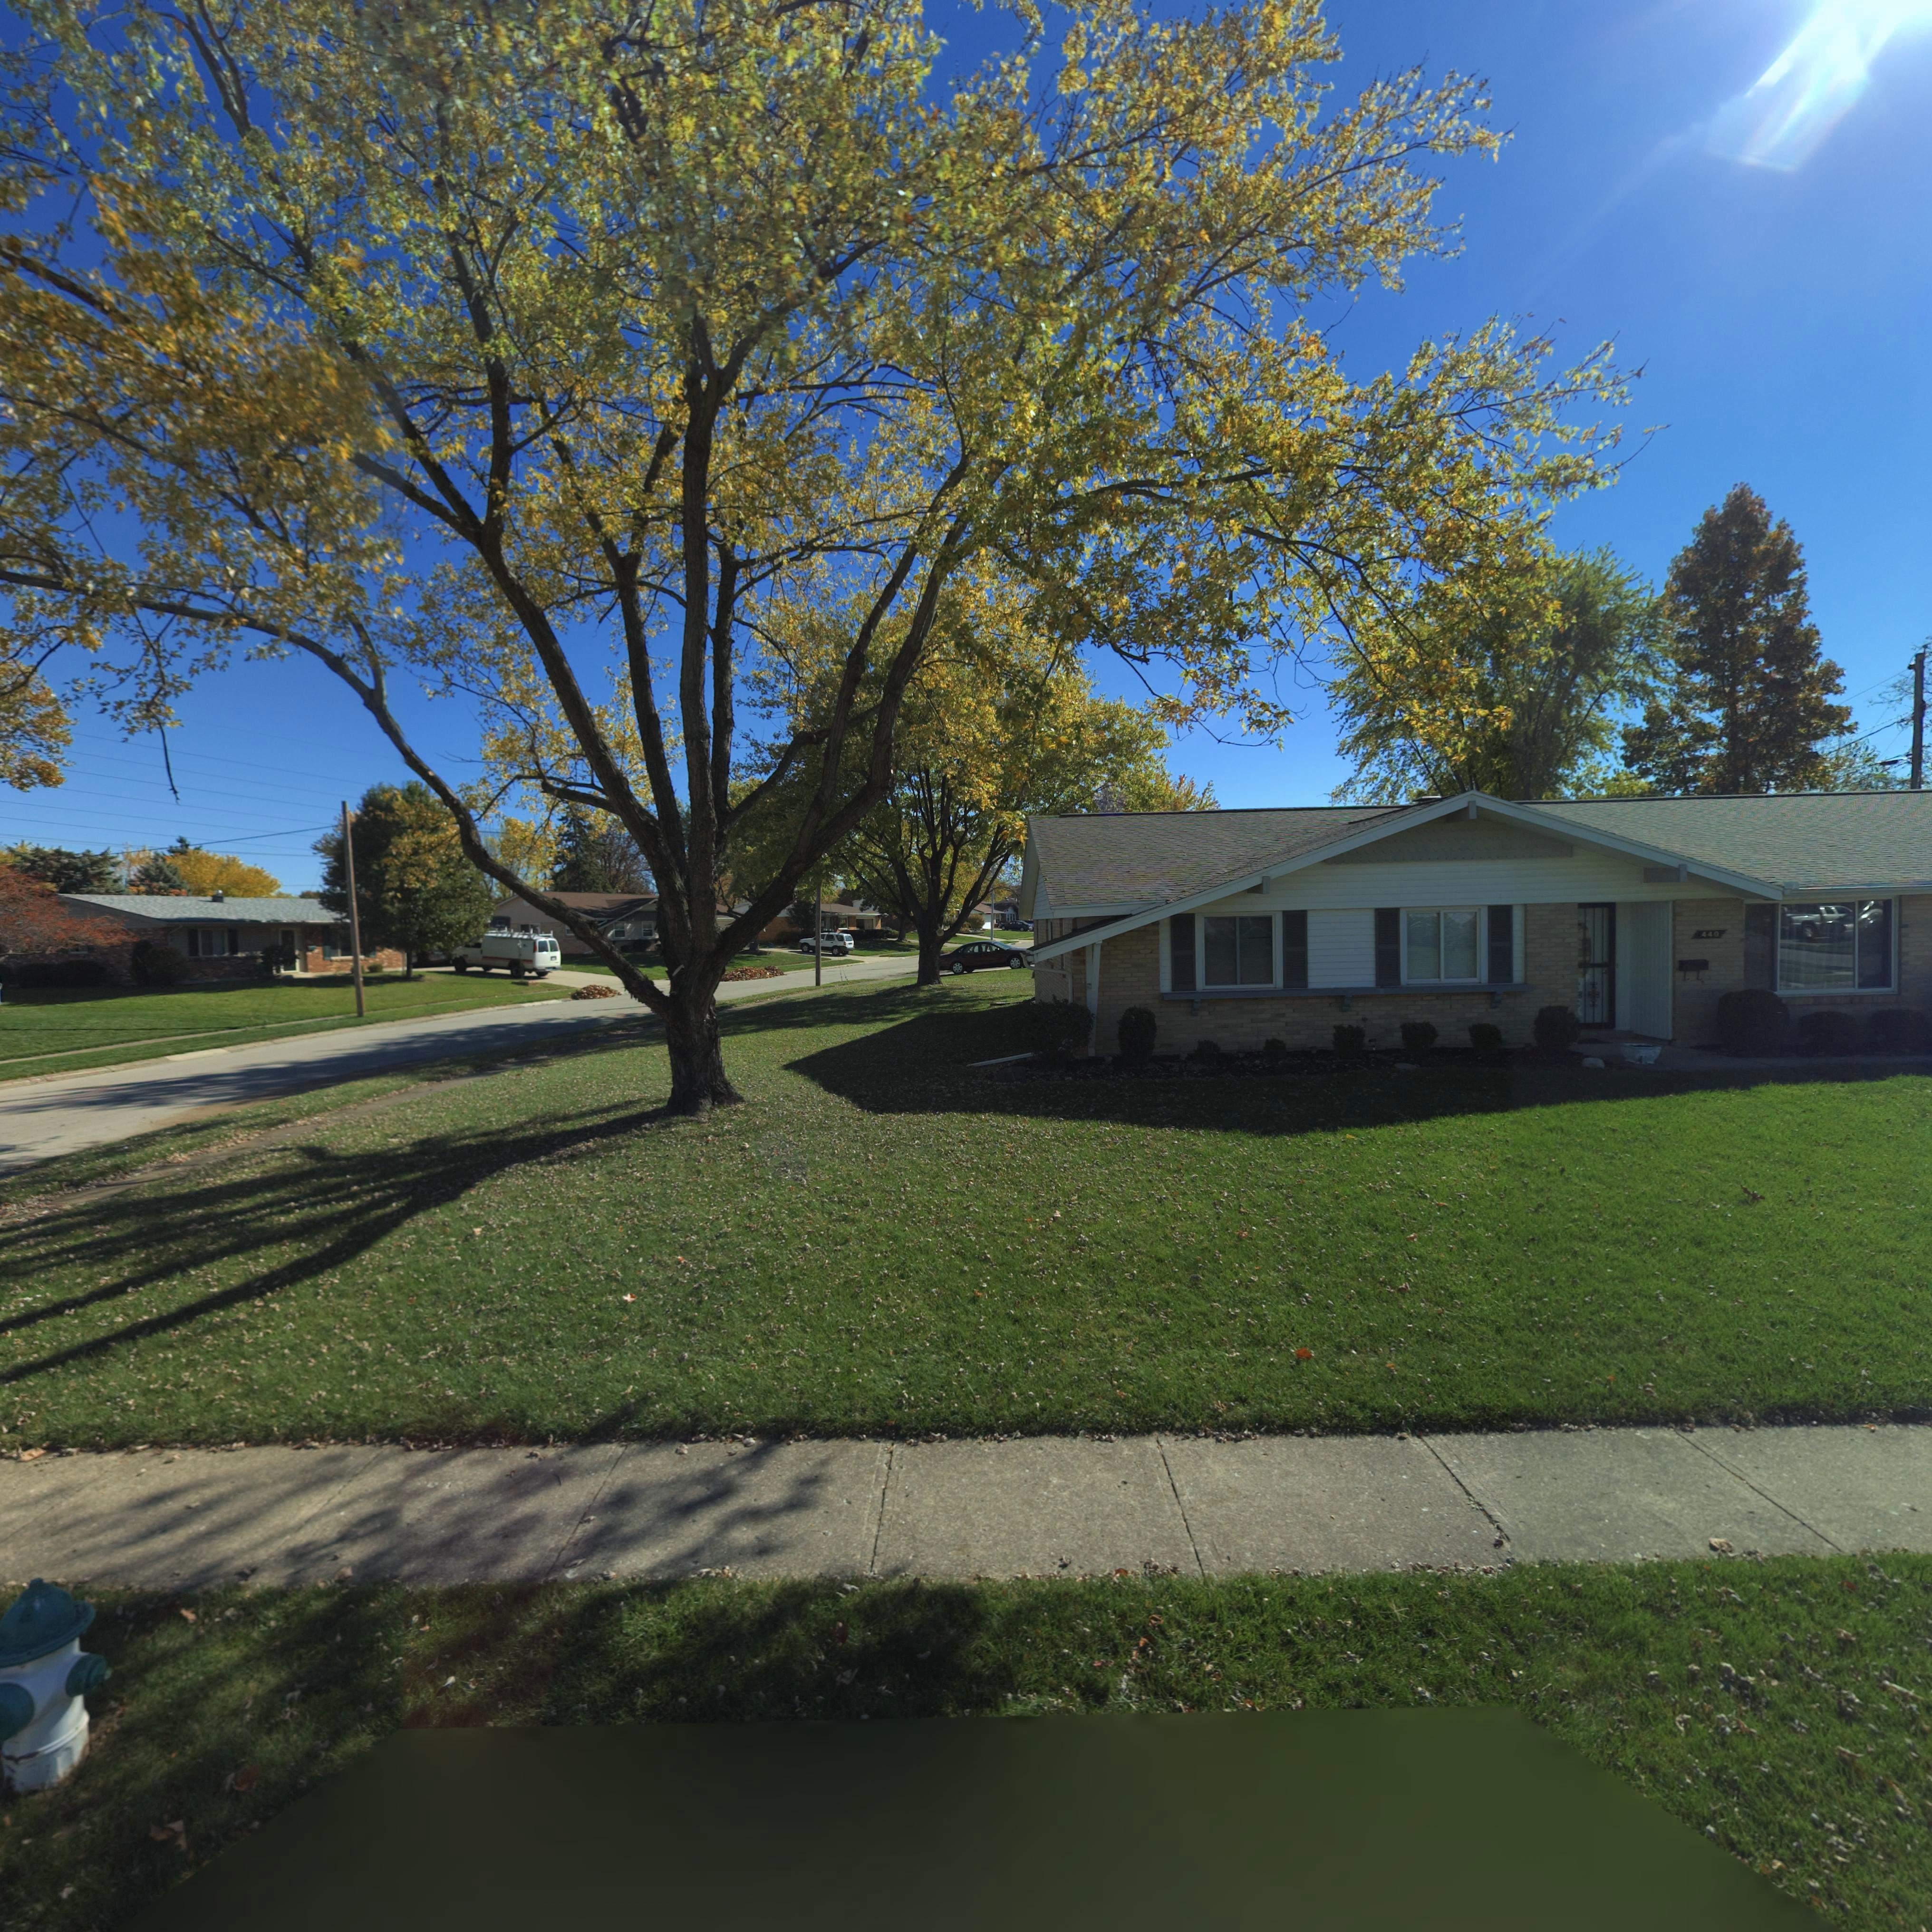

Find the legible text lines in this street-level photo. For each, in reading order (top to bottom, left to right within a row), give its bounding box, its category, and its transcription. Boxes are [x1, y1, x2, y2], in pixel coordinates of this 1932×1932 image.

[1700, 930, 1720, 938] StreetNumber: 440